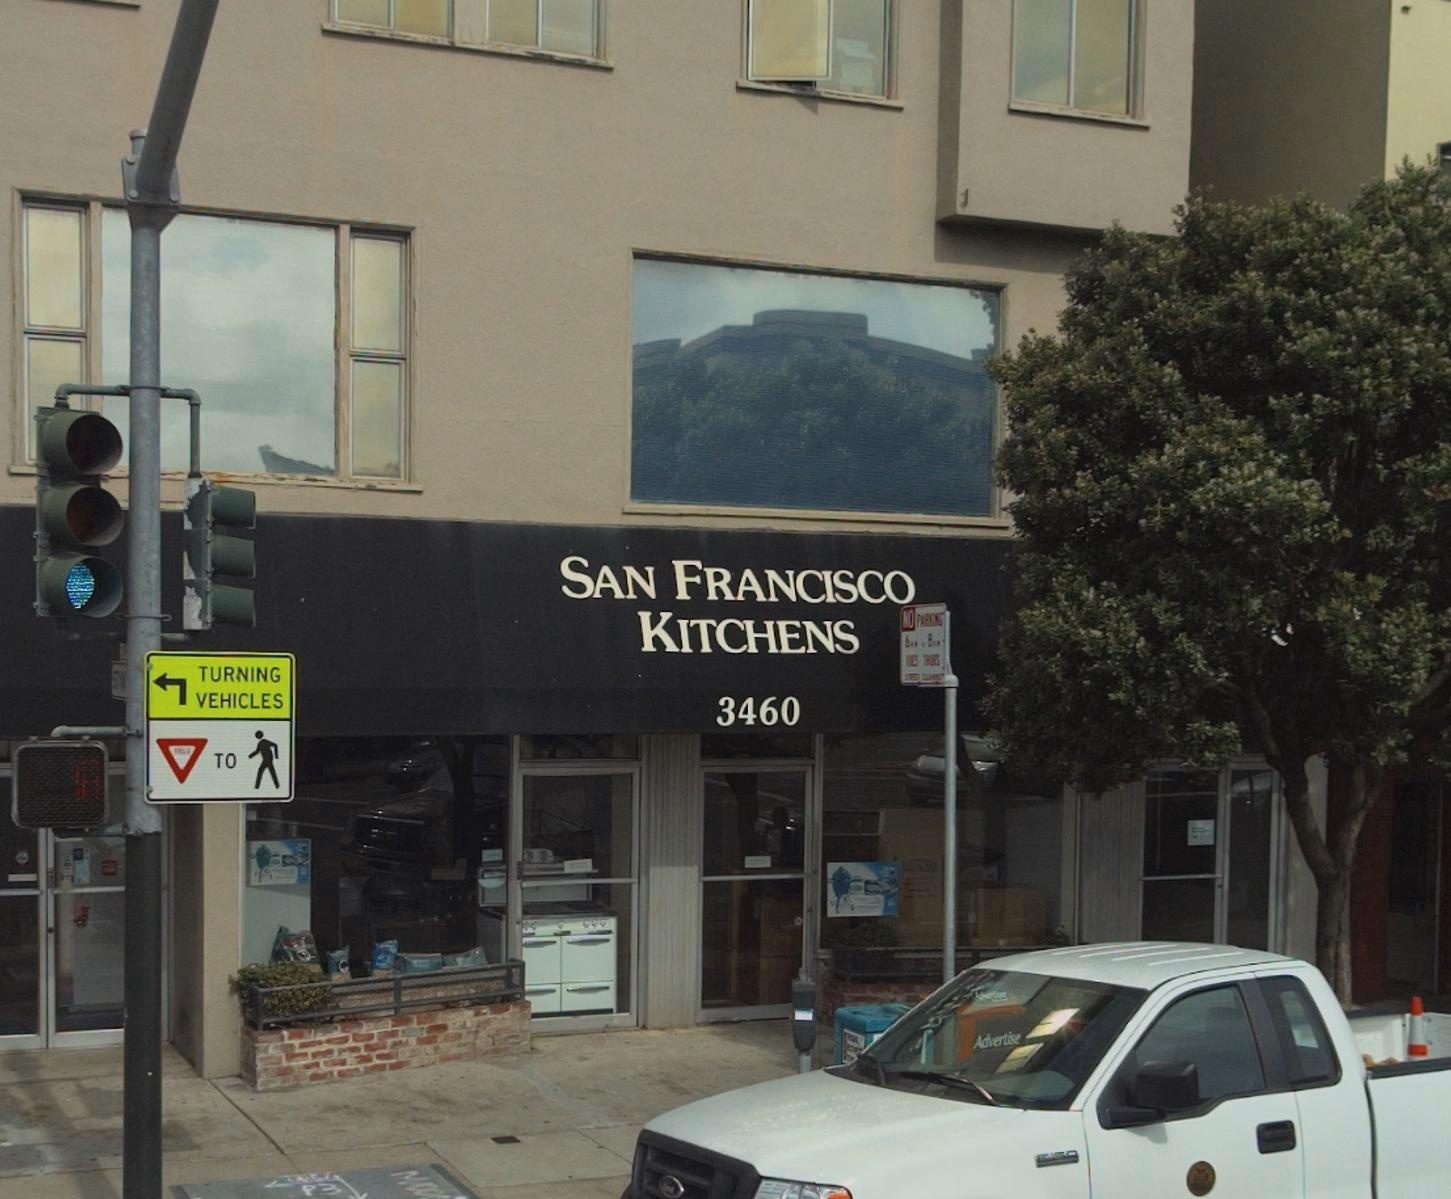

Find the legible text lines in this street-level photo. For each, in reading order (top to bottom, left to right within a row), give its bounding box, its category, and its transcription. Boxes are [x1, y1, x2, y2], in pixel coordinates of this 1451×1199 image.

[558, 554, 918, 606] BusinessName: SAN FRANCISCO
[901, 607, 946, 631] None: NO PAR****
[634, 608, 865, 657] BusinessName: KITCHENS
[902, 631, 943, 651] None: 6** * 8**
[904, 651, 944, 672] None: T*ES THURS
[195, 663, 283, 685] None: TURNING
[193, 691, 286, 711] None: VEHICLES
[712, 692, 803, 731] StreetNumber: 3460
[212, 751, 238, 771] None: TO
[969, 1029, 1022, 1053] None: Advertise
[296, 1181, 348, 1198] None: P3